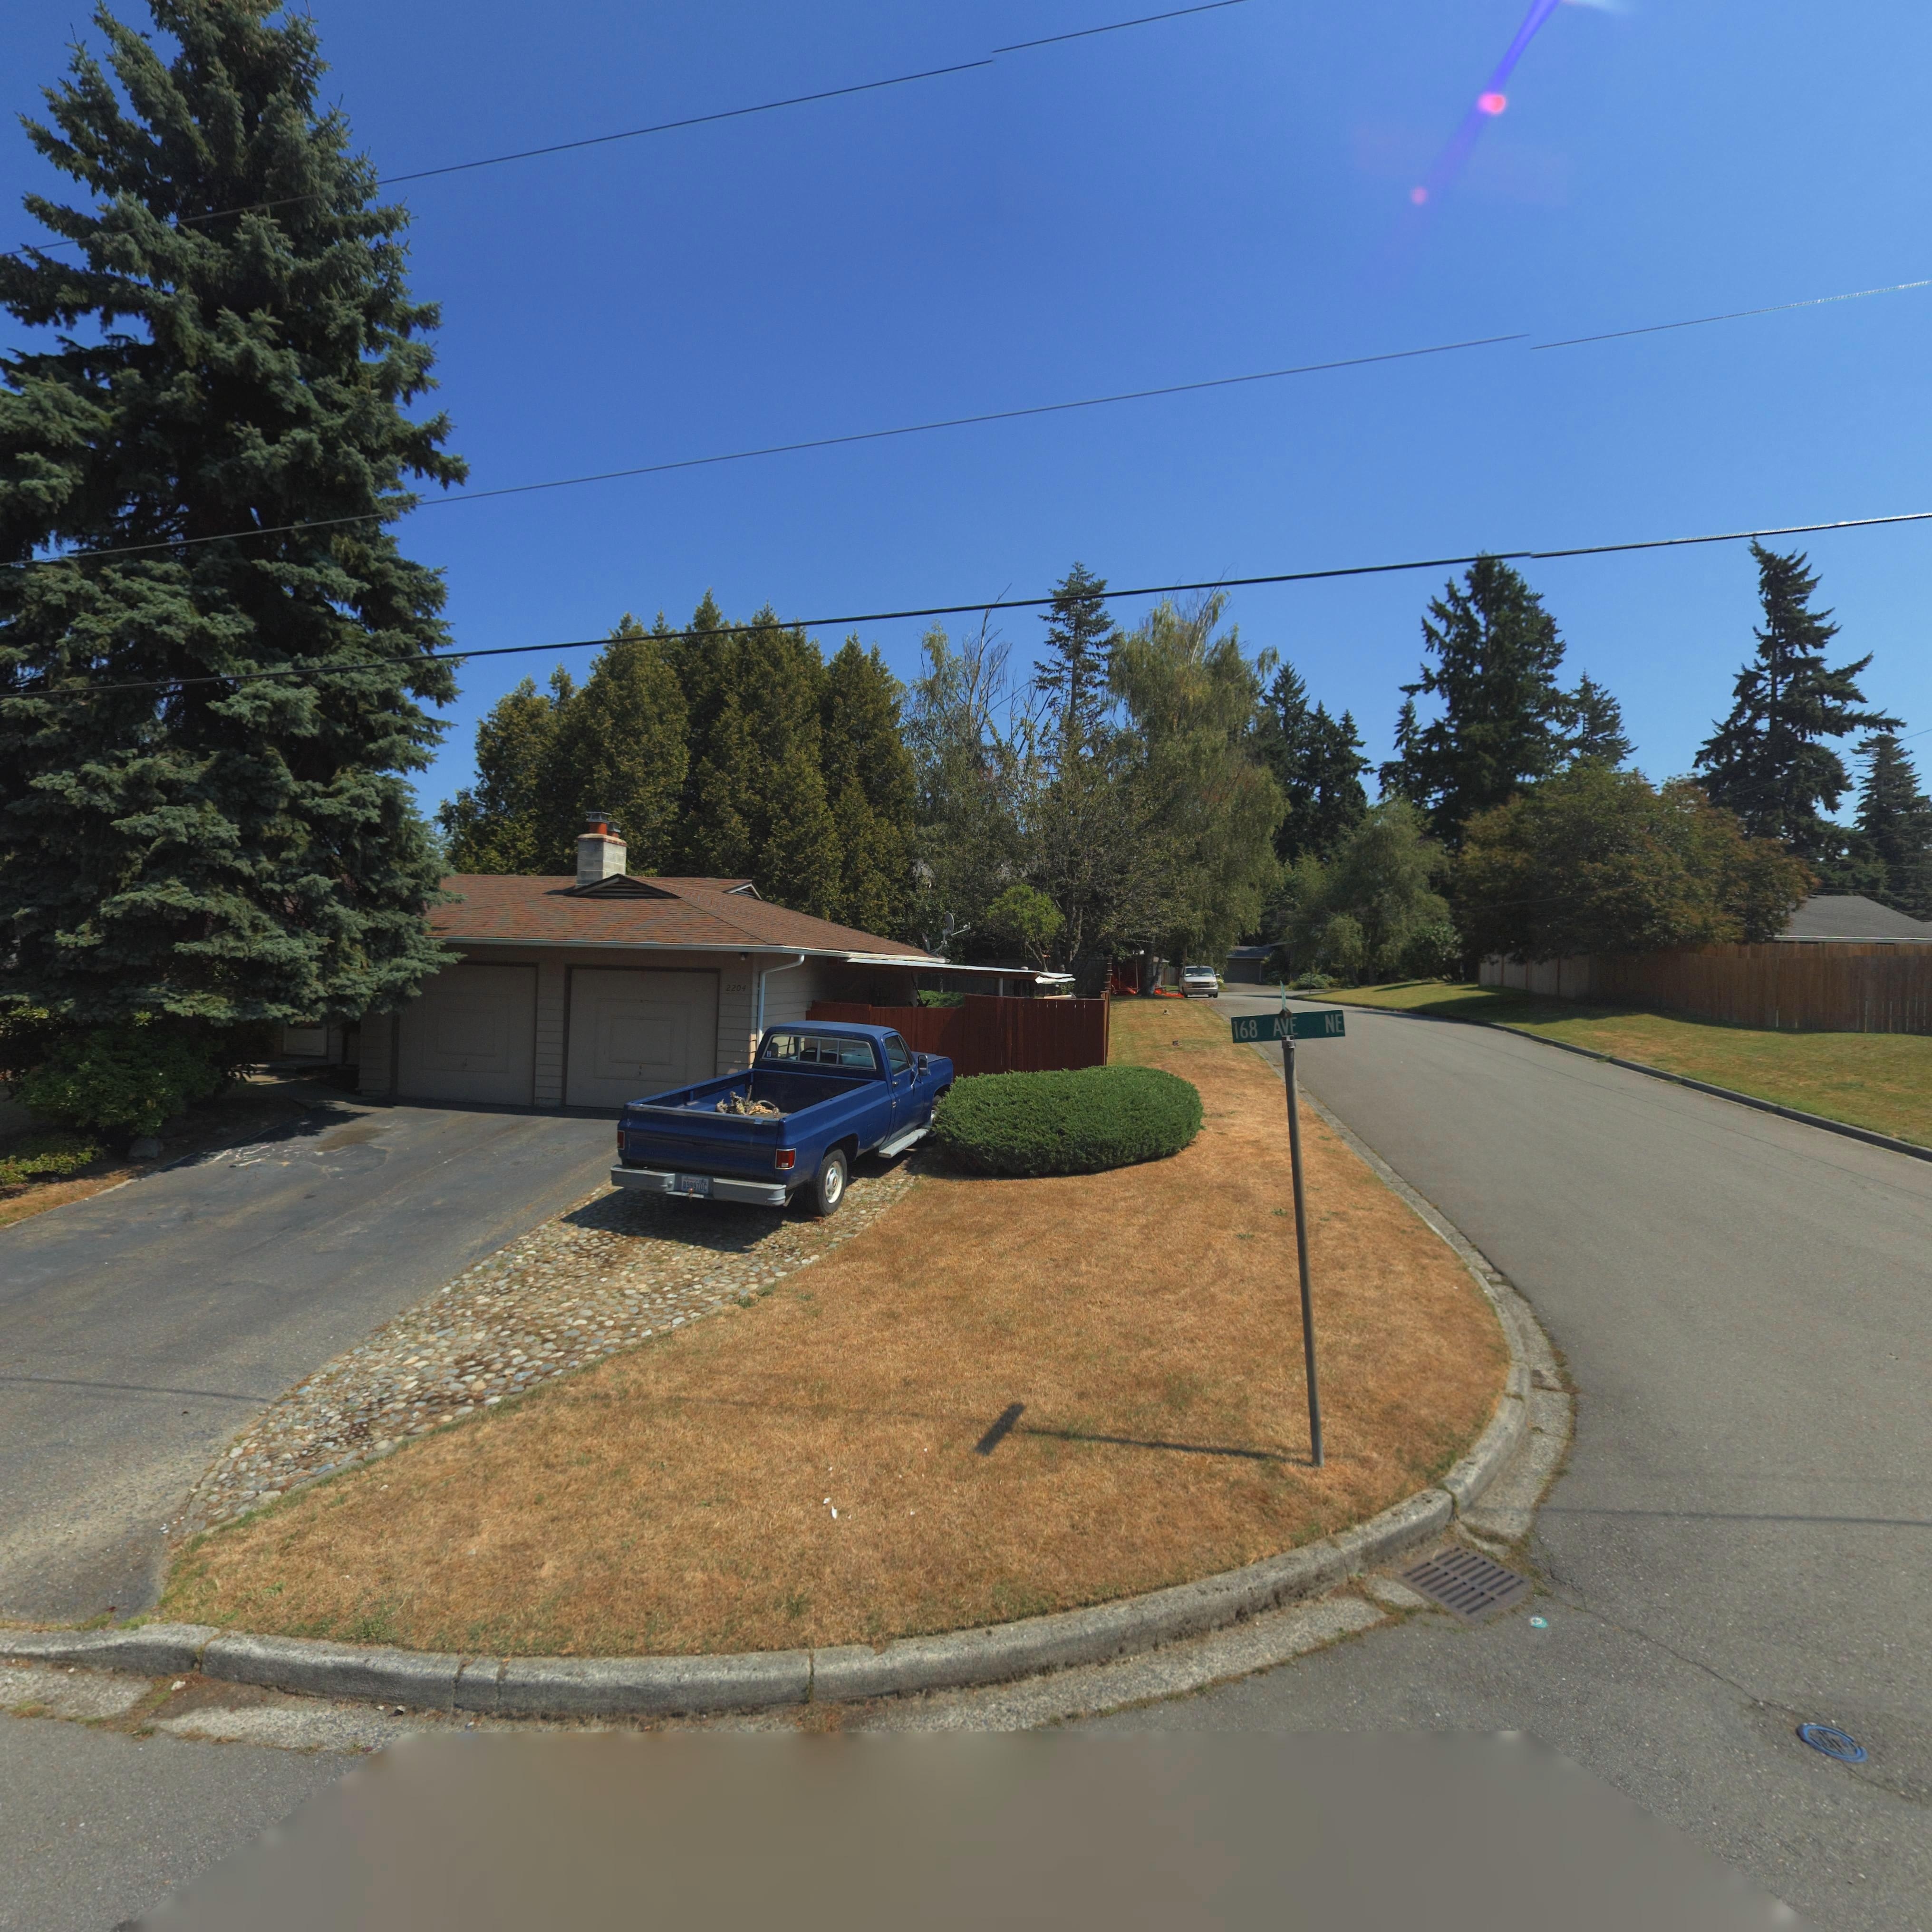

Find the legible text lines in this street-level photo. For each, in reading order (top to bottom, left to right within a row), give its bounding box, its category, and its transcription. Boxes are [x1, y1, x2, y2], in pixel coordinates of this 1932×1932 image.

[724, 982, 748, 994] StreetNumber: 2204
[1229, 1008, 1343, 1040] StreetName: 168 AVE NE